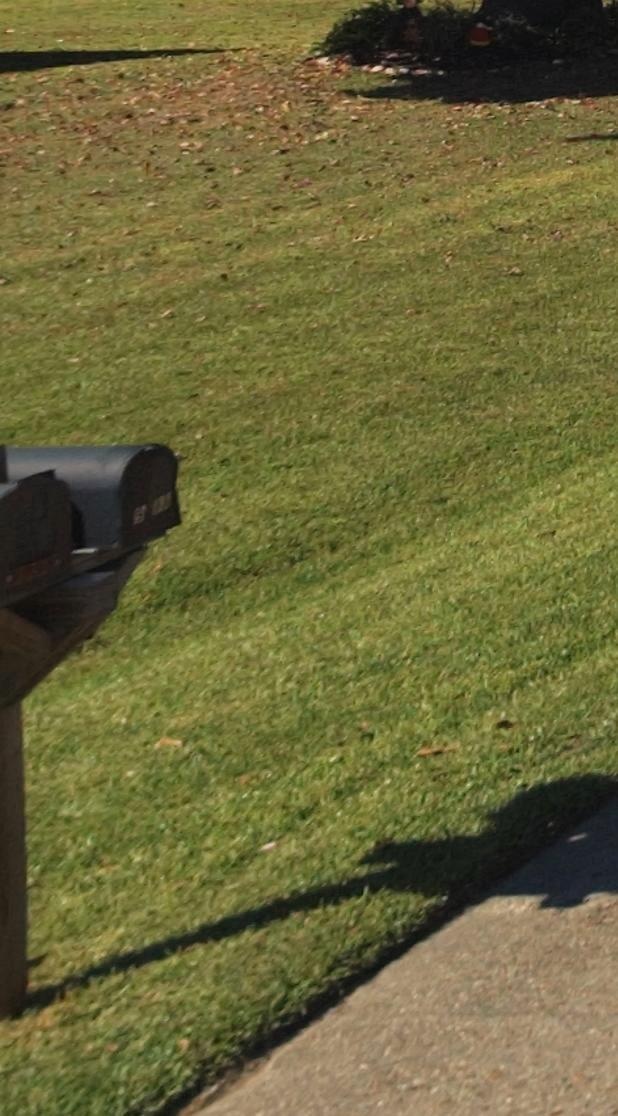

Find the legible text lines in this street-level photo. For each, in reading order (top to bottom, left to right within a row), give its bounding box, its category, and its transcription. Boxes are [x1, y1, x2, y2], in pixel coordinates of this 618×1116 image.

[5, 552, 61, 587] StreetNumber: 9998